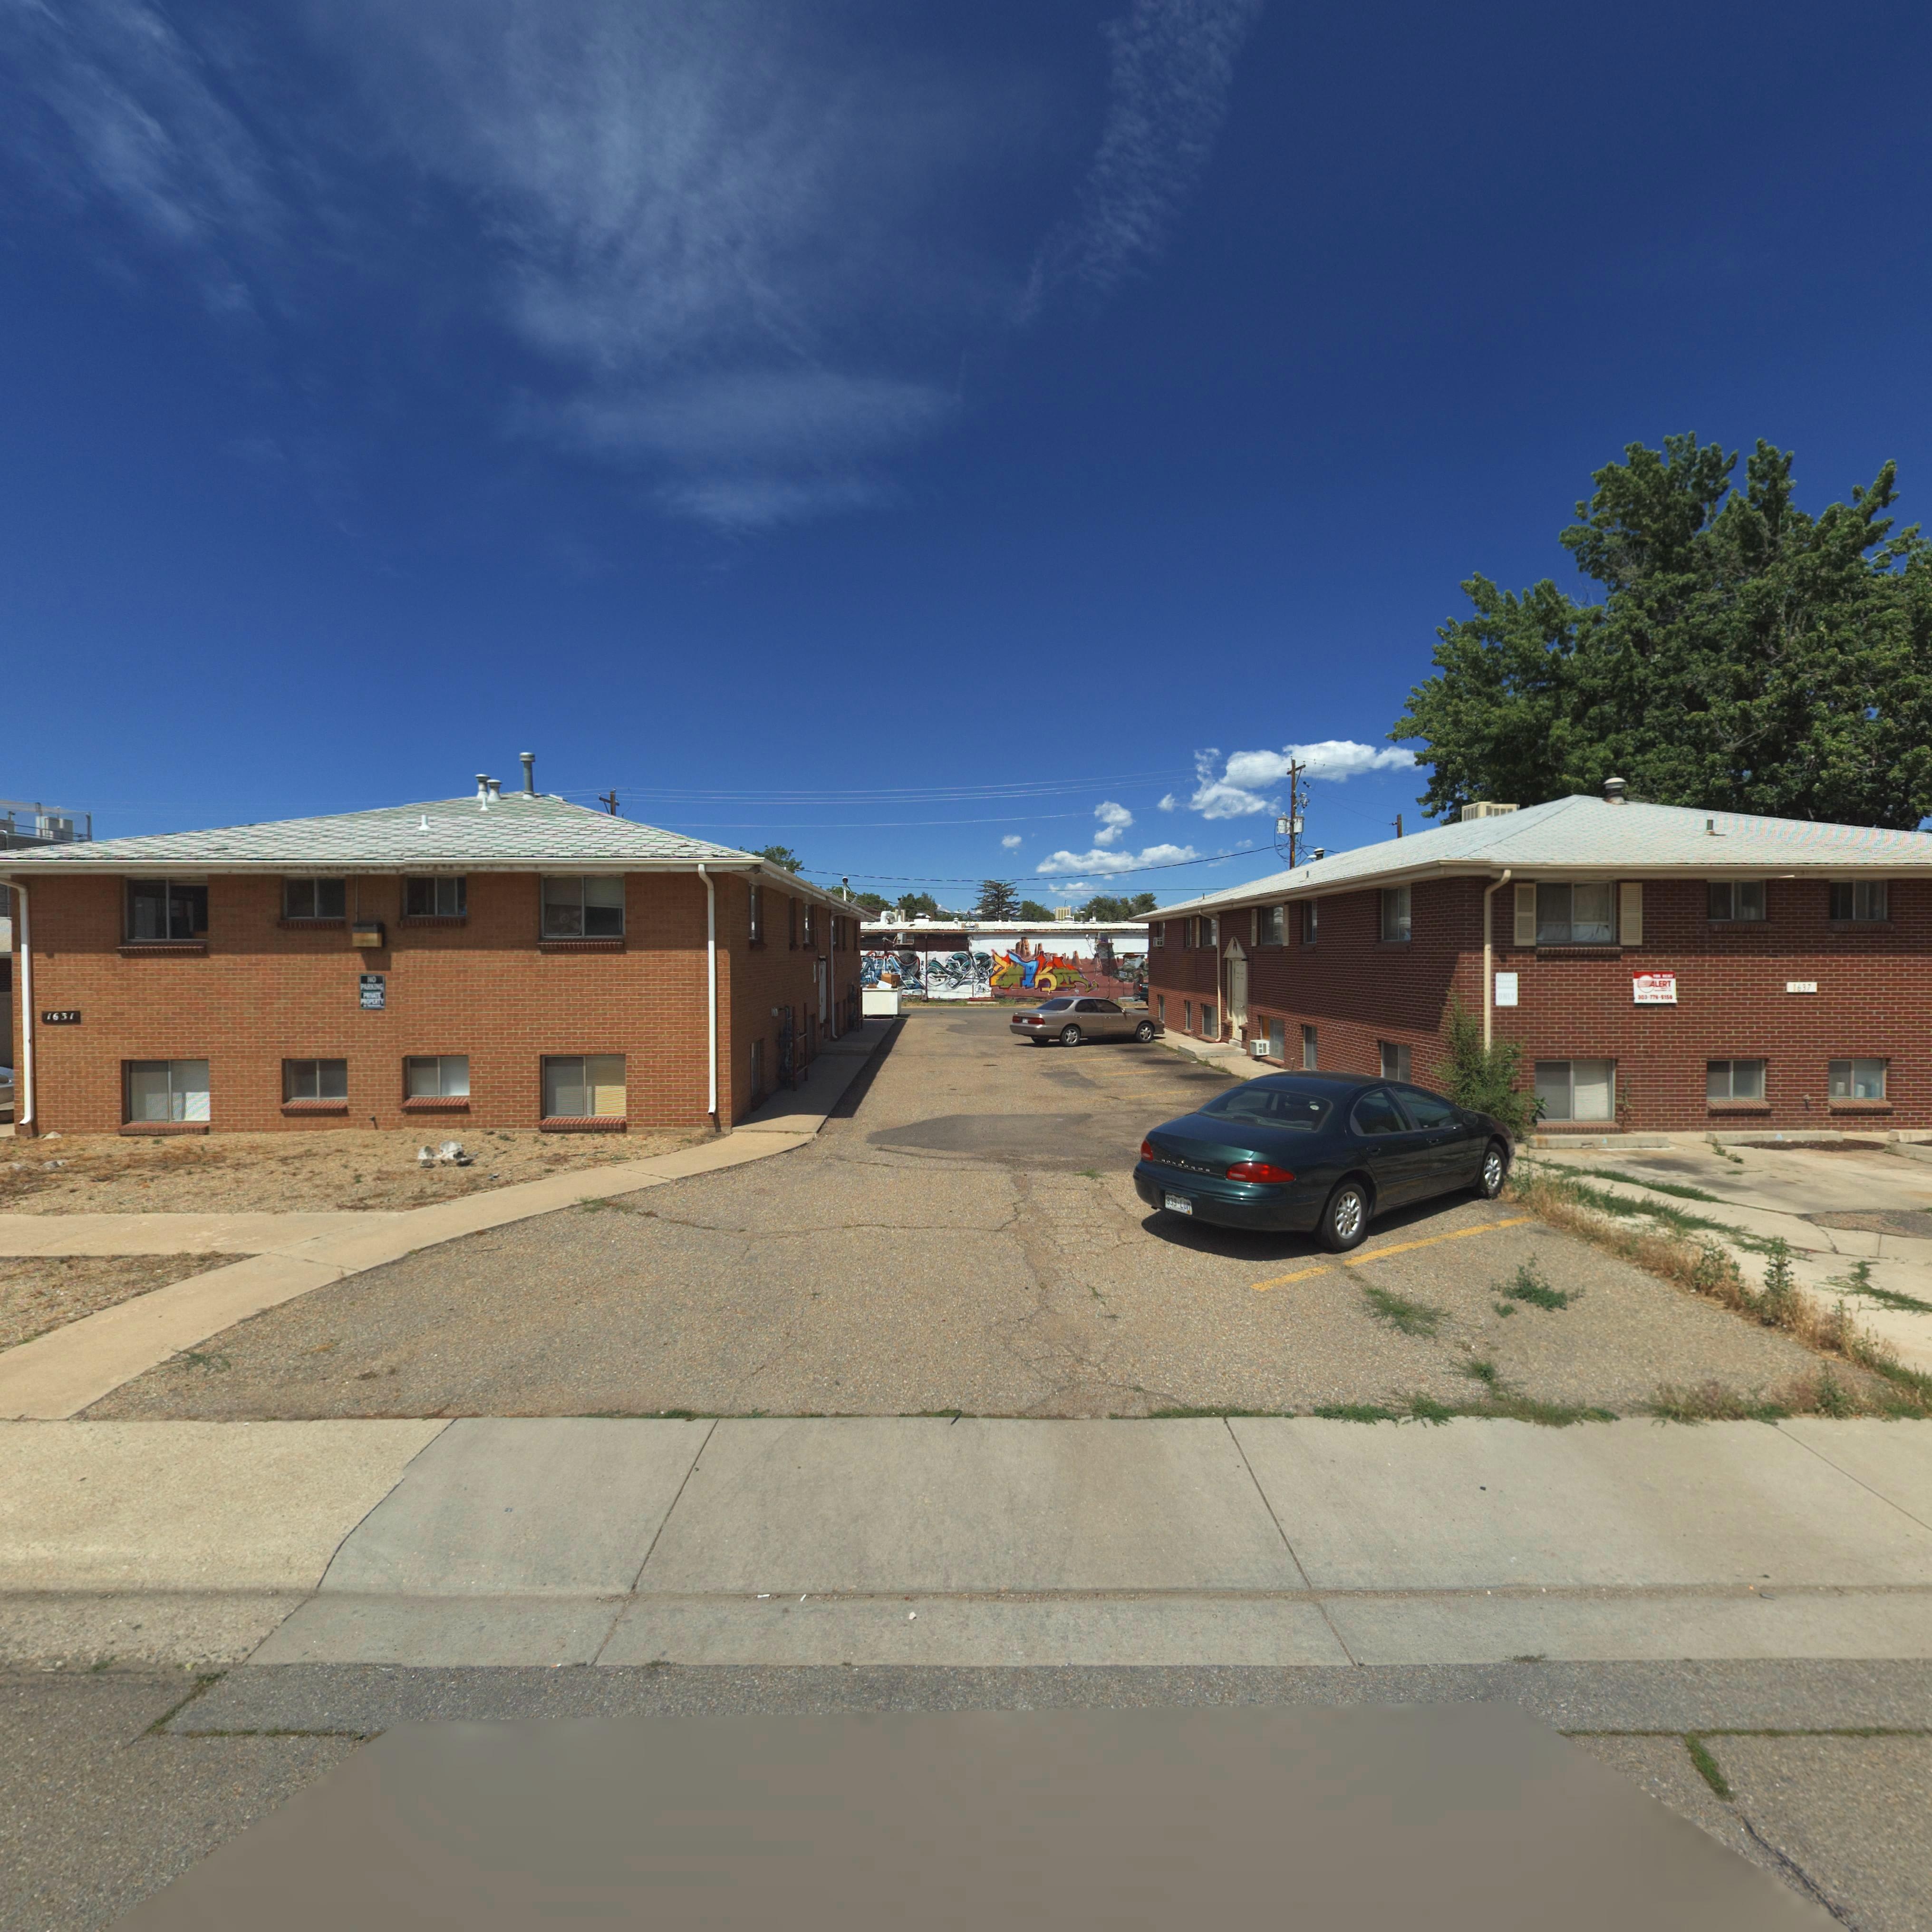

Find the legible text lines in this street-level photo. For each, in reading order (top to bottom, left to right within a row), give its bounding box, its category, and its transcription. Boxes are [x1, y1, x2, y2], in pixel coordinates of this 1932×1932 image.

[1793, 983, 1812, 991] StreetNumber: 1637
[46, 1012, 75, 1021] StreetNumber: 1631